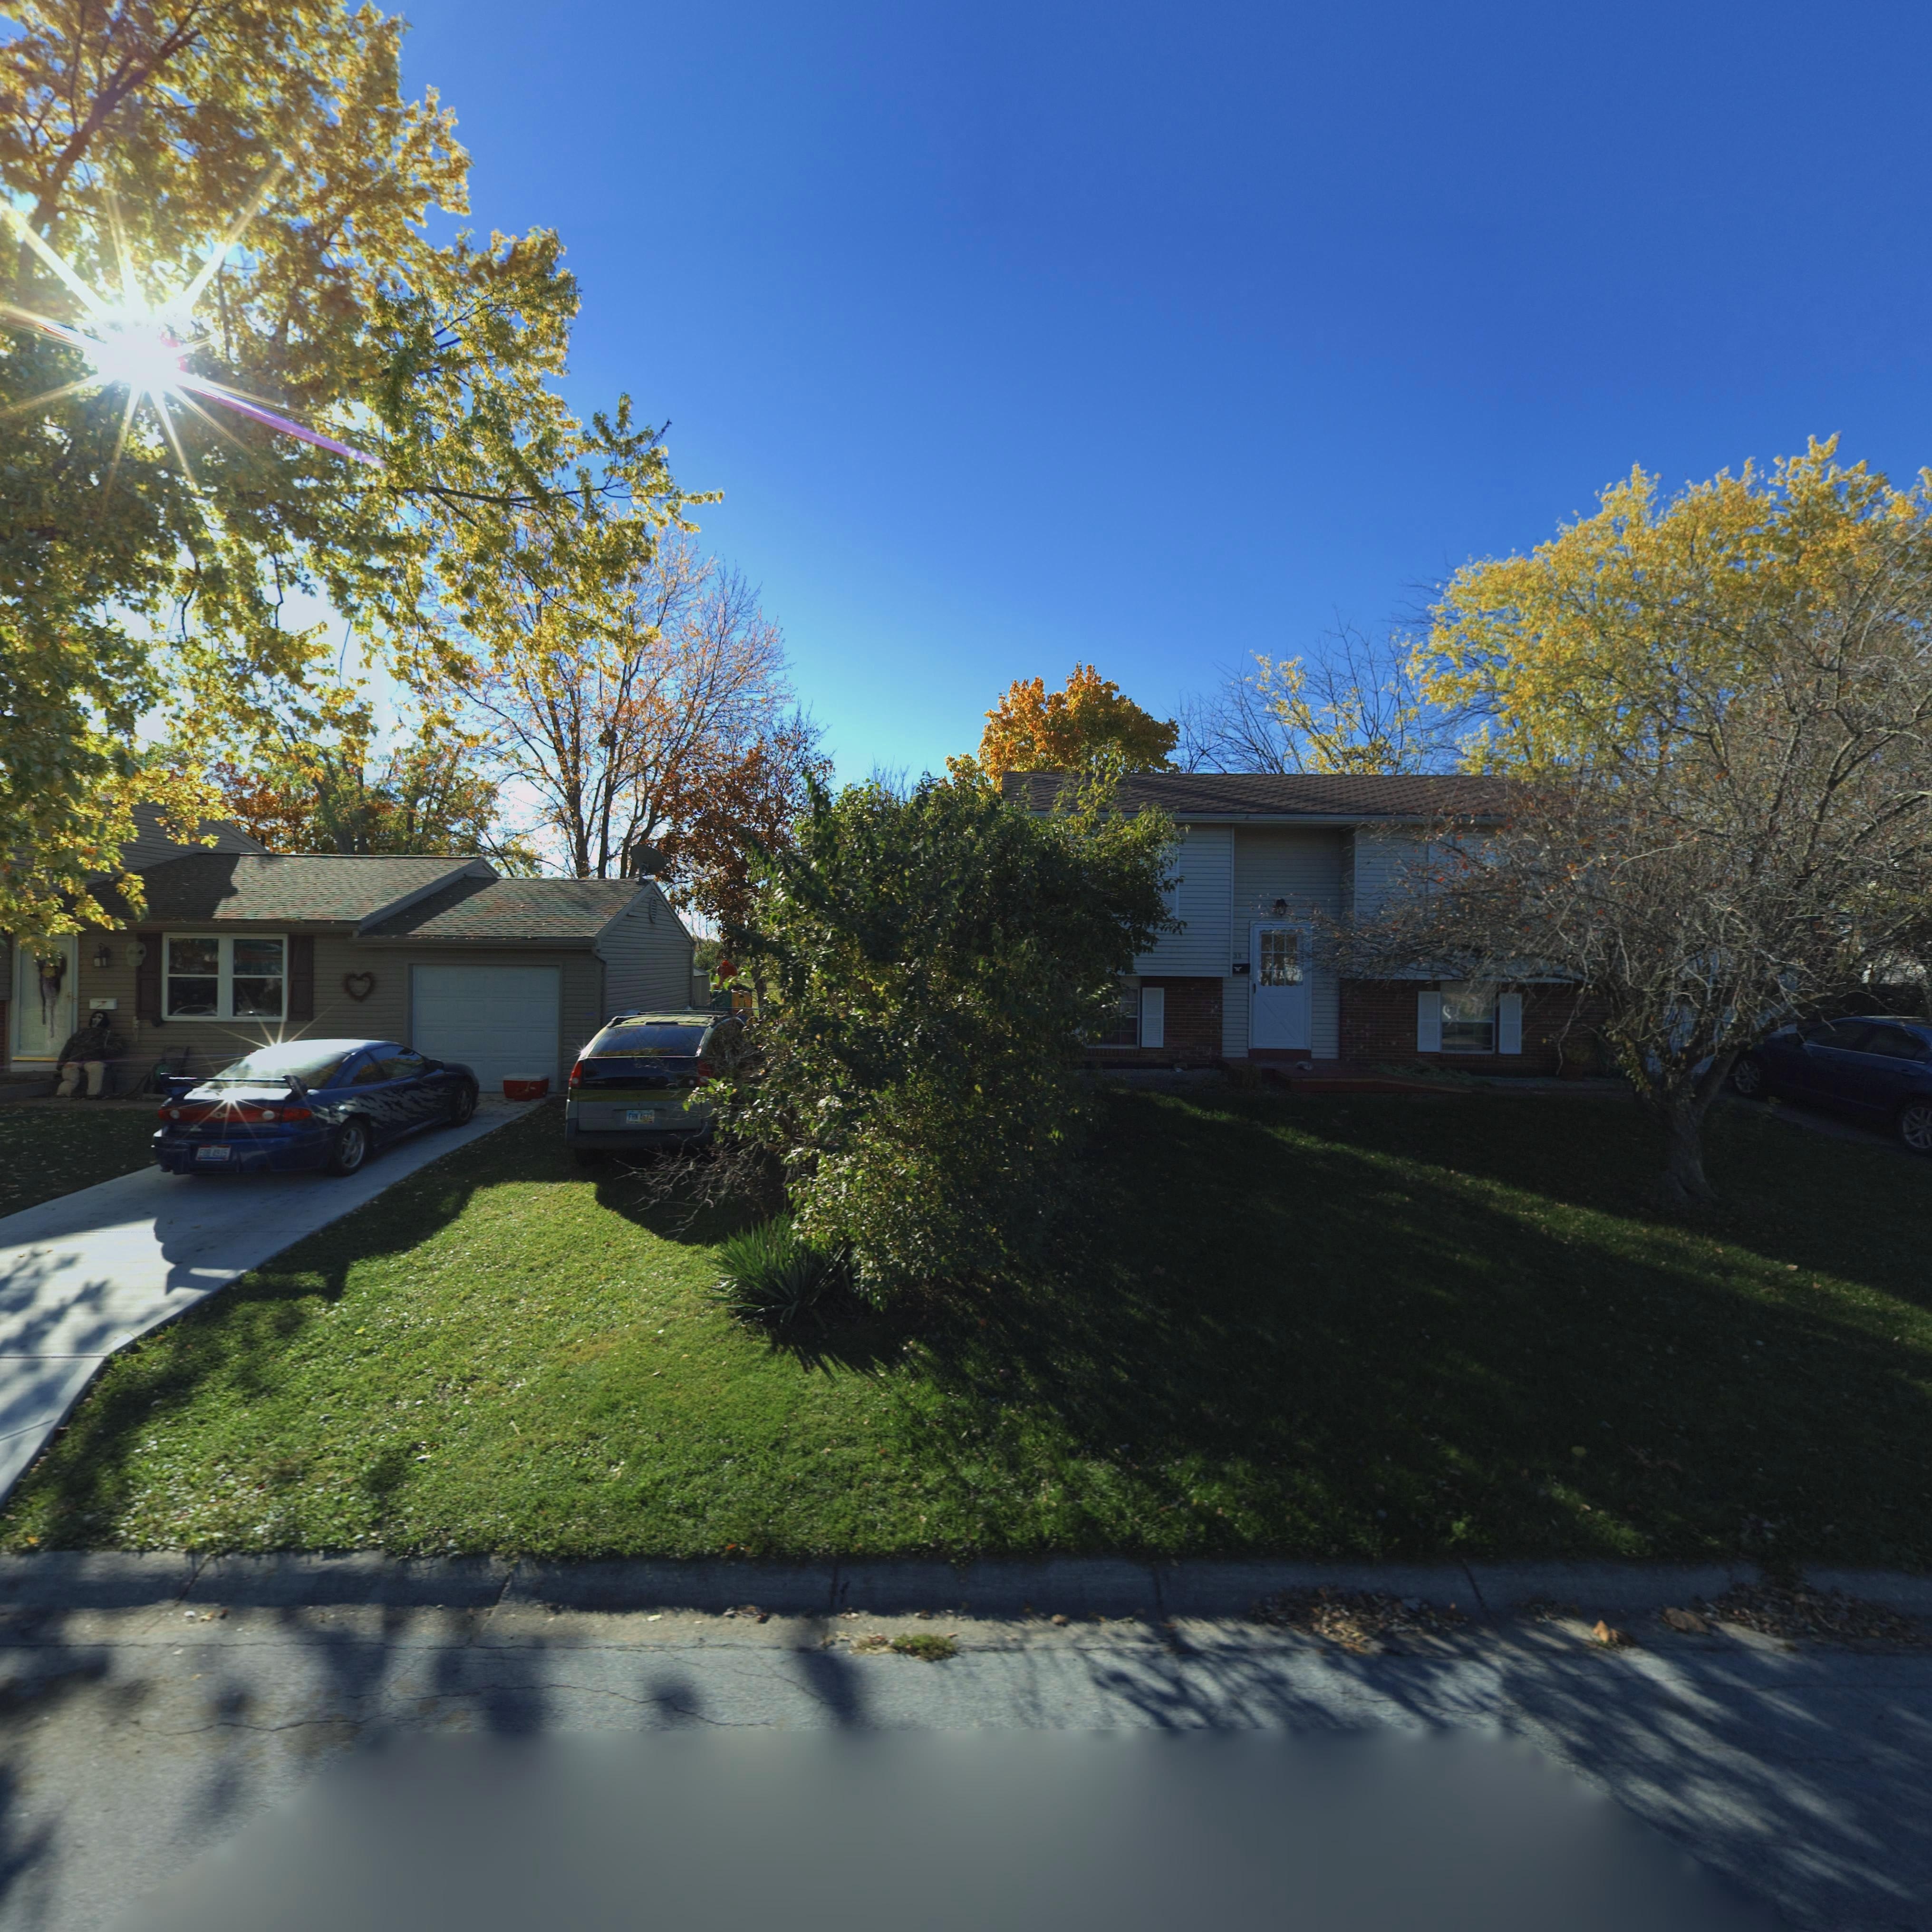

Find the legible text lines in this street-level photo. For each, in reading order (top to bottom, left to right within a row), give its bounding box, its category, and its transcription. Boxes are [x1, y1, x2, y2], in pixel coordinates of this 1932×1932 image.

[1233, 953, 1242, 959] StreetNumber: 33